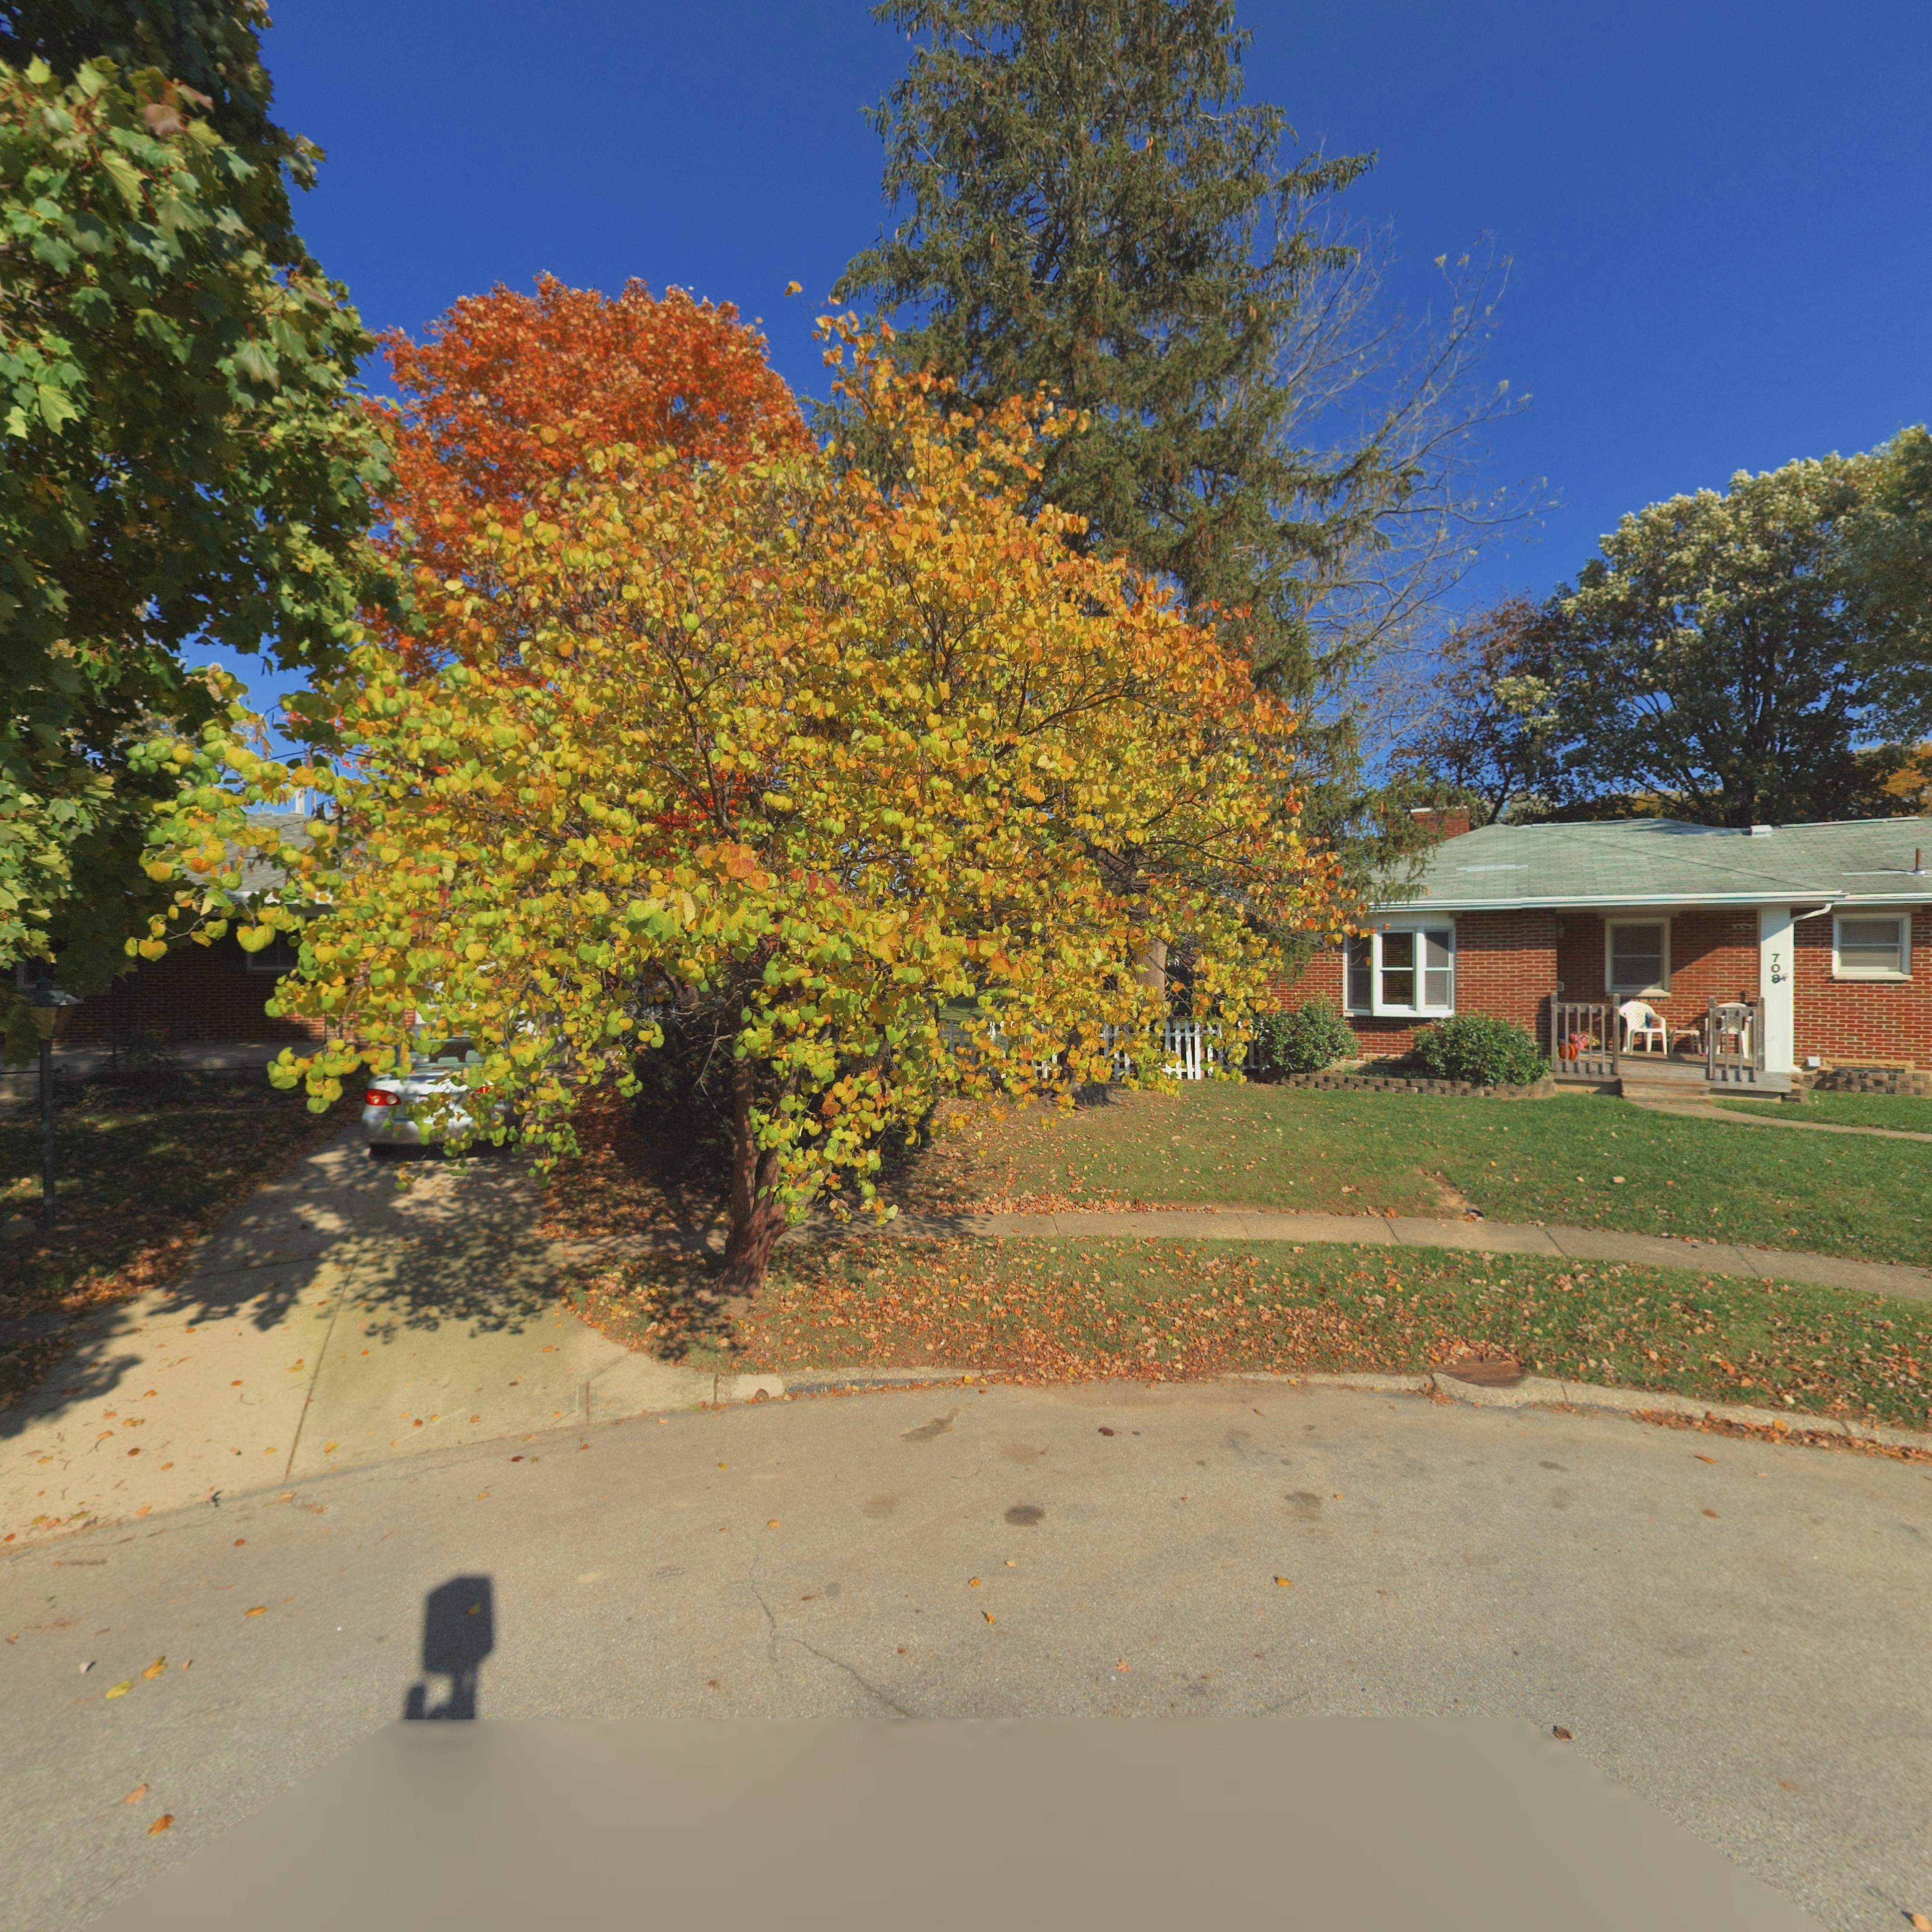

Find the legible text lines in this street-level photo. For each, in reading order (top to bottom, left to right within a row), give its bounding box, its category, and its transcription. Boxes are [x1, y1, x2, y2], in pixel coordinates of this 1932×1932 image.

[1771, 953, 1781, 983] StreetNumber: 708